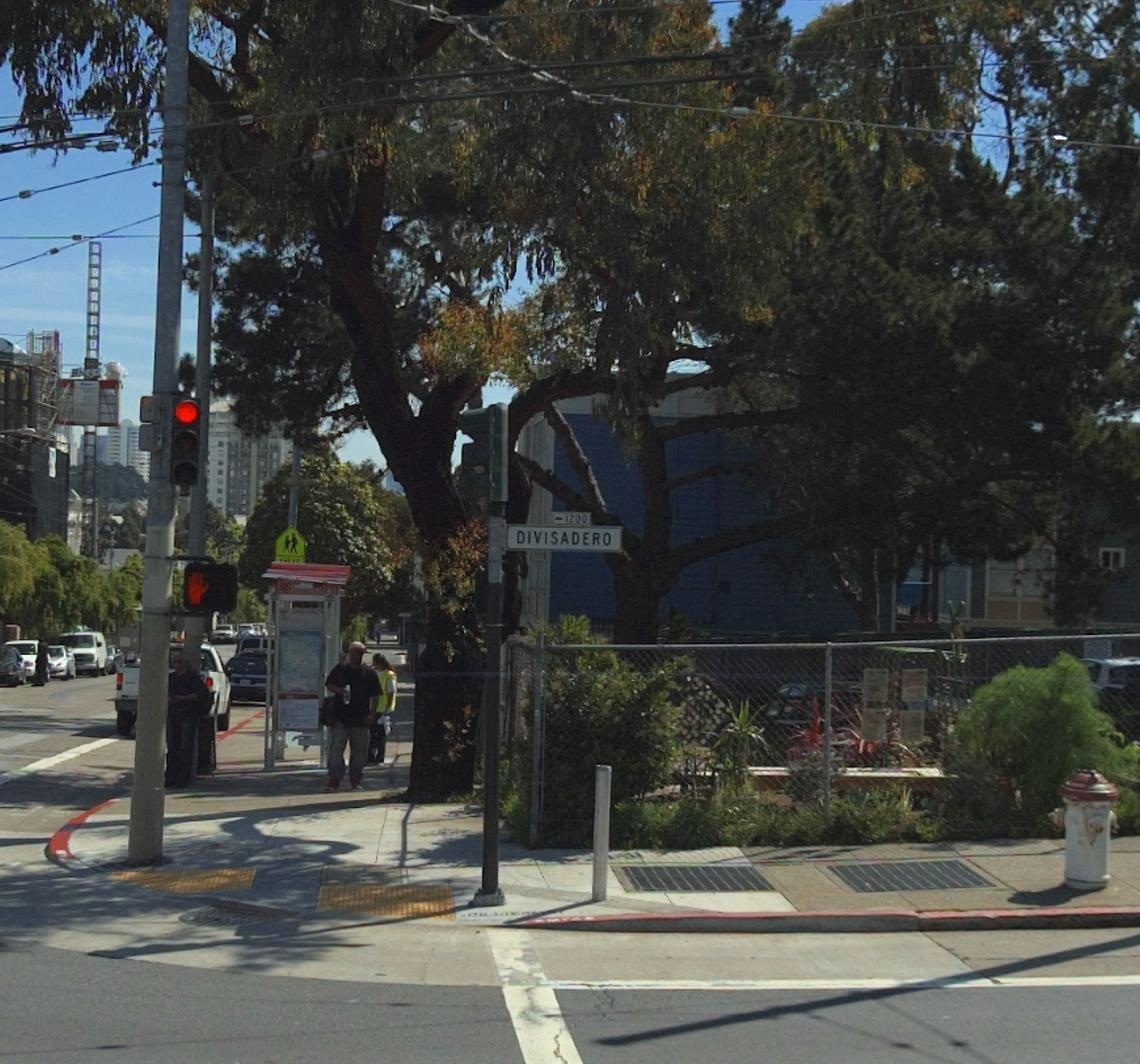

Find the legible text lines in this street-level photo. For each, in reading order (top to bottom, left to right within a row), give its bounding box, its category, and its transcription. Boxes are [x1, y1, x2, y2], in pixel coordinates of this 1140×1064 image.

[553, 513, 587, 524] StreetNumberRange: <-1200
[516, 529, 611, 546] StreetName: DIVISADERO